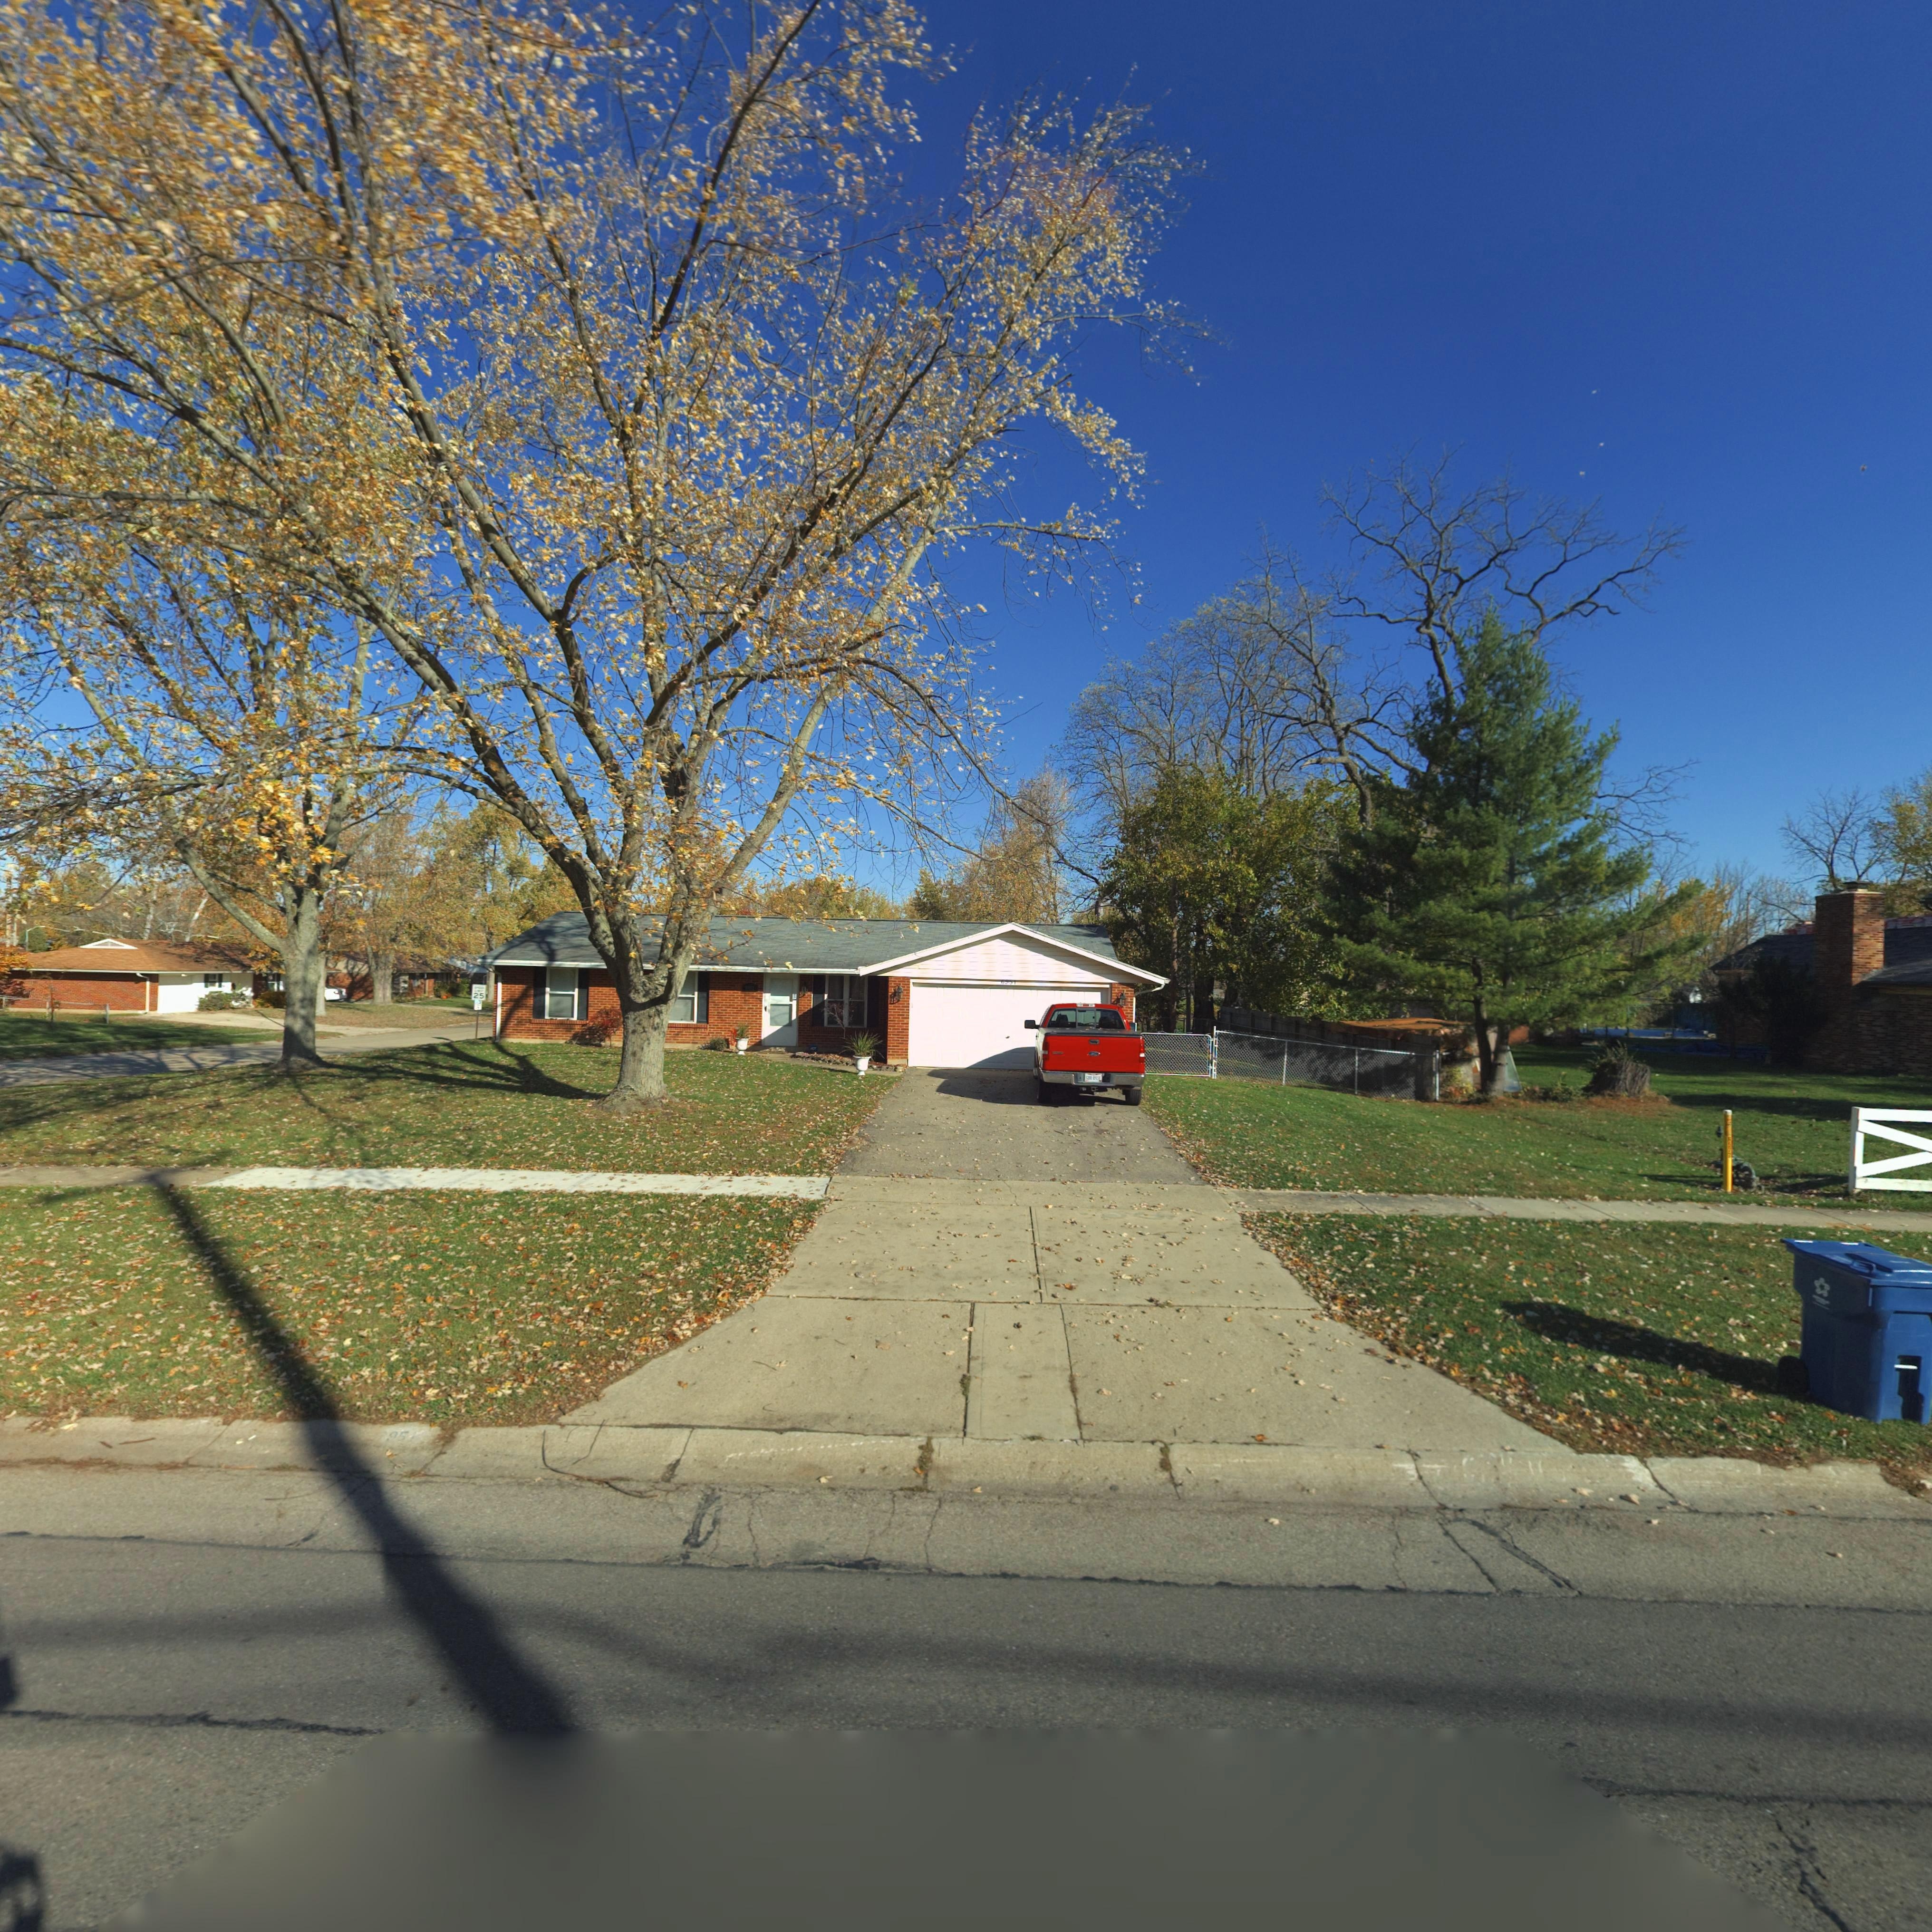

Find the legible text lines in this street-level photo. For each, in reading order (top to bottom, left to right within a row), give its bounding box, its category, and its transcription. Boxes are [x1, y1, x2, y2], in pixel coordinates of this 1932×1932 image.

[1000, 979, 1016, 985] StreetNumber: 69*1